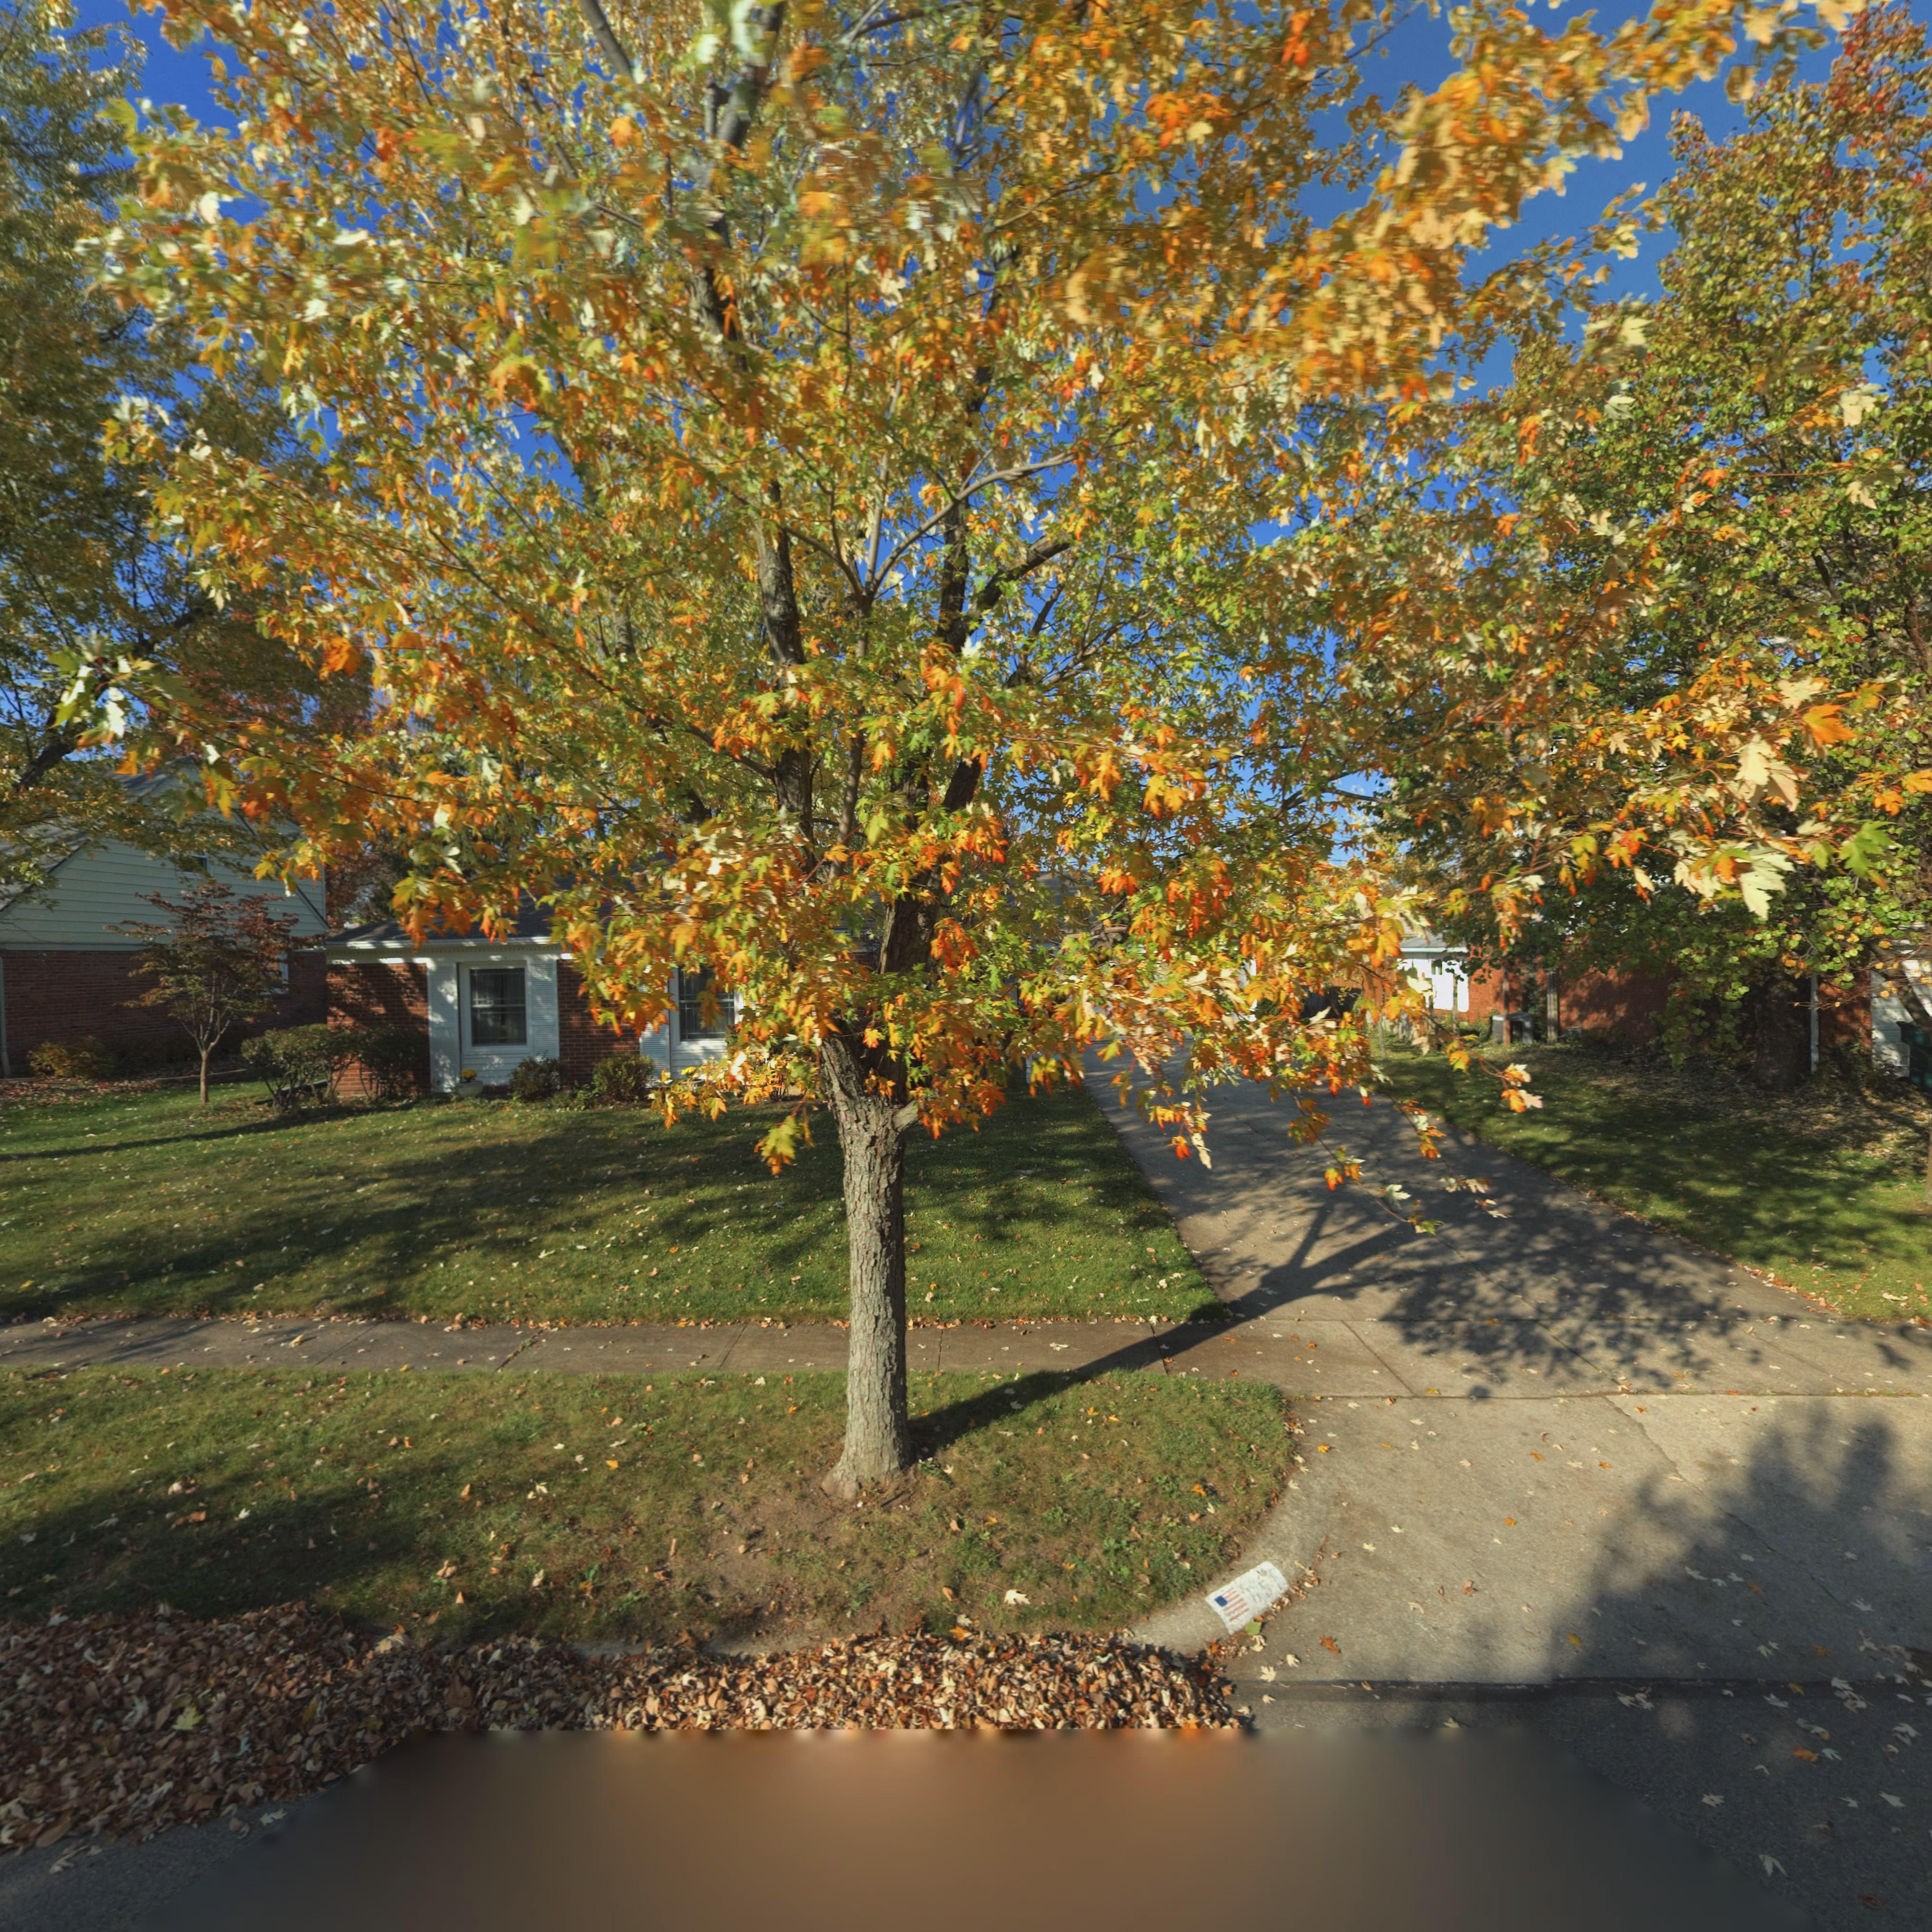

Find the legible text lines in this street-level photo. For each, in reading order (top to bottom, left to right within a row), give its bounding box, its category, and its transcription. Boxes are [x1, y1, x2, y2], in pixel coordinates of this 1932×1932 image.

[1244, 1572, 1285, 1606] StreetNumber: 651